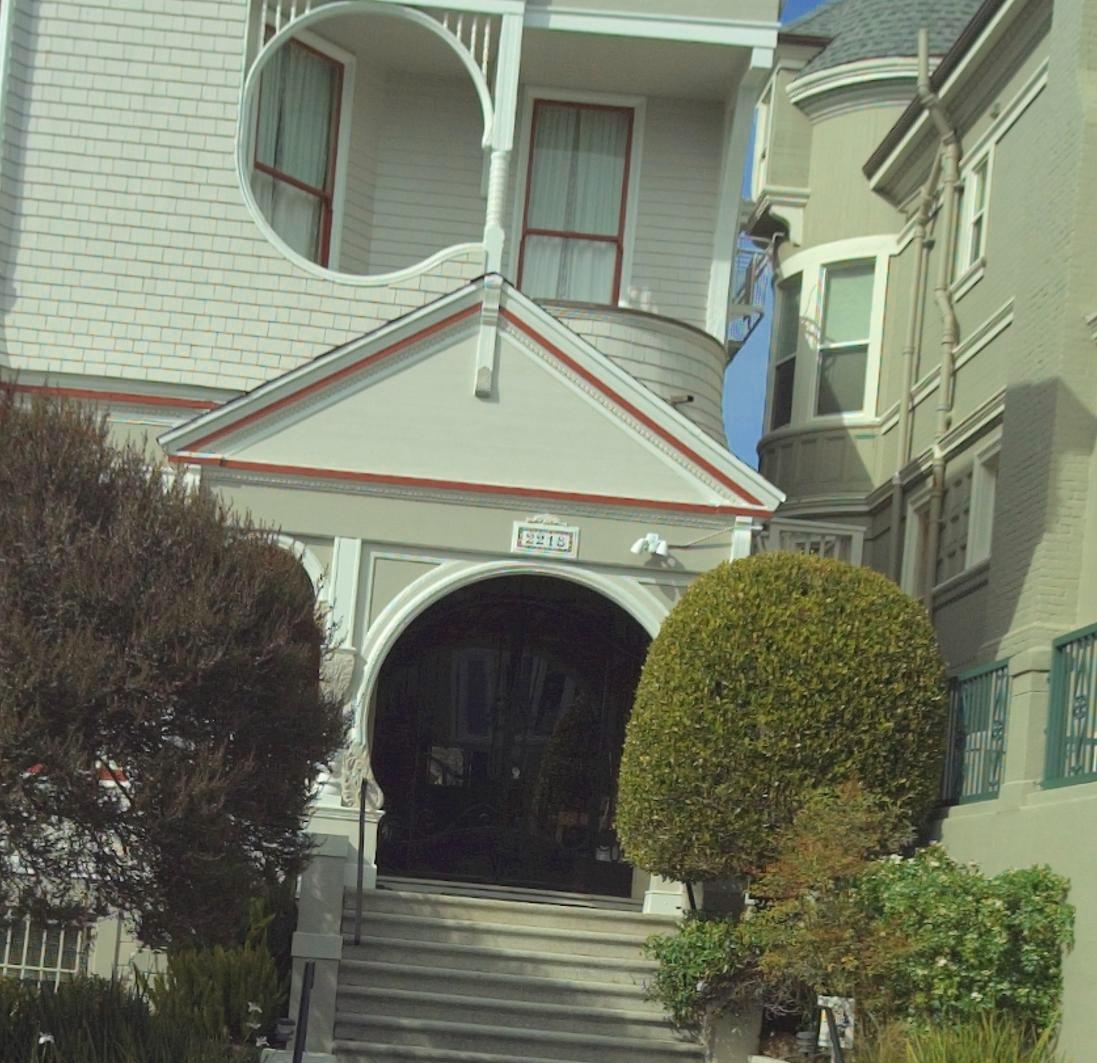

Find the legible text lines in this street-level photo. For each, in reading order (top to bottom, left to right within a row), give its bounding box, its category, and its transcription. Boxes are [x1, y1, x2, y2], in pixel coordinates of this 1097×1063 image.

[524, 531, 566, 549] StreetNumber: 2218